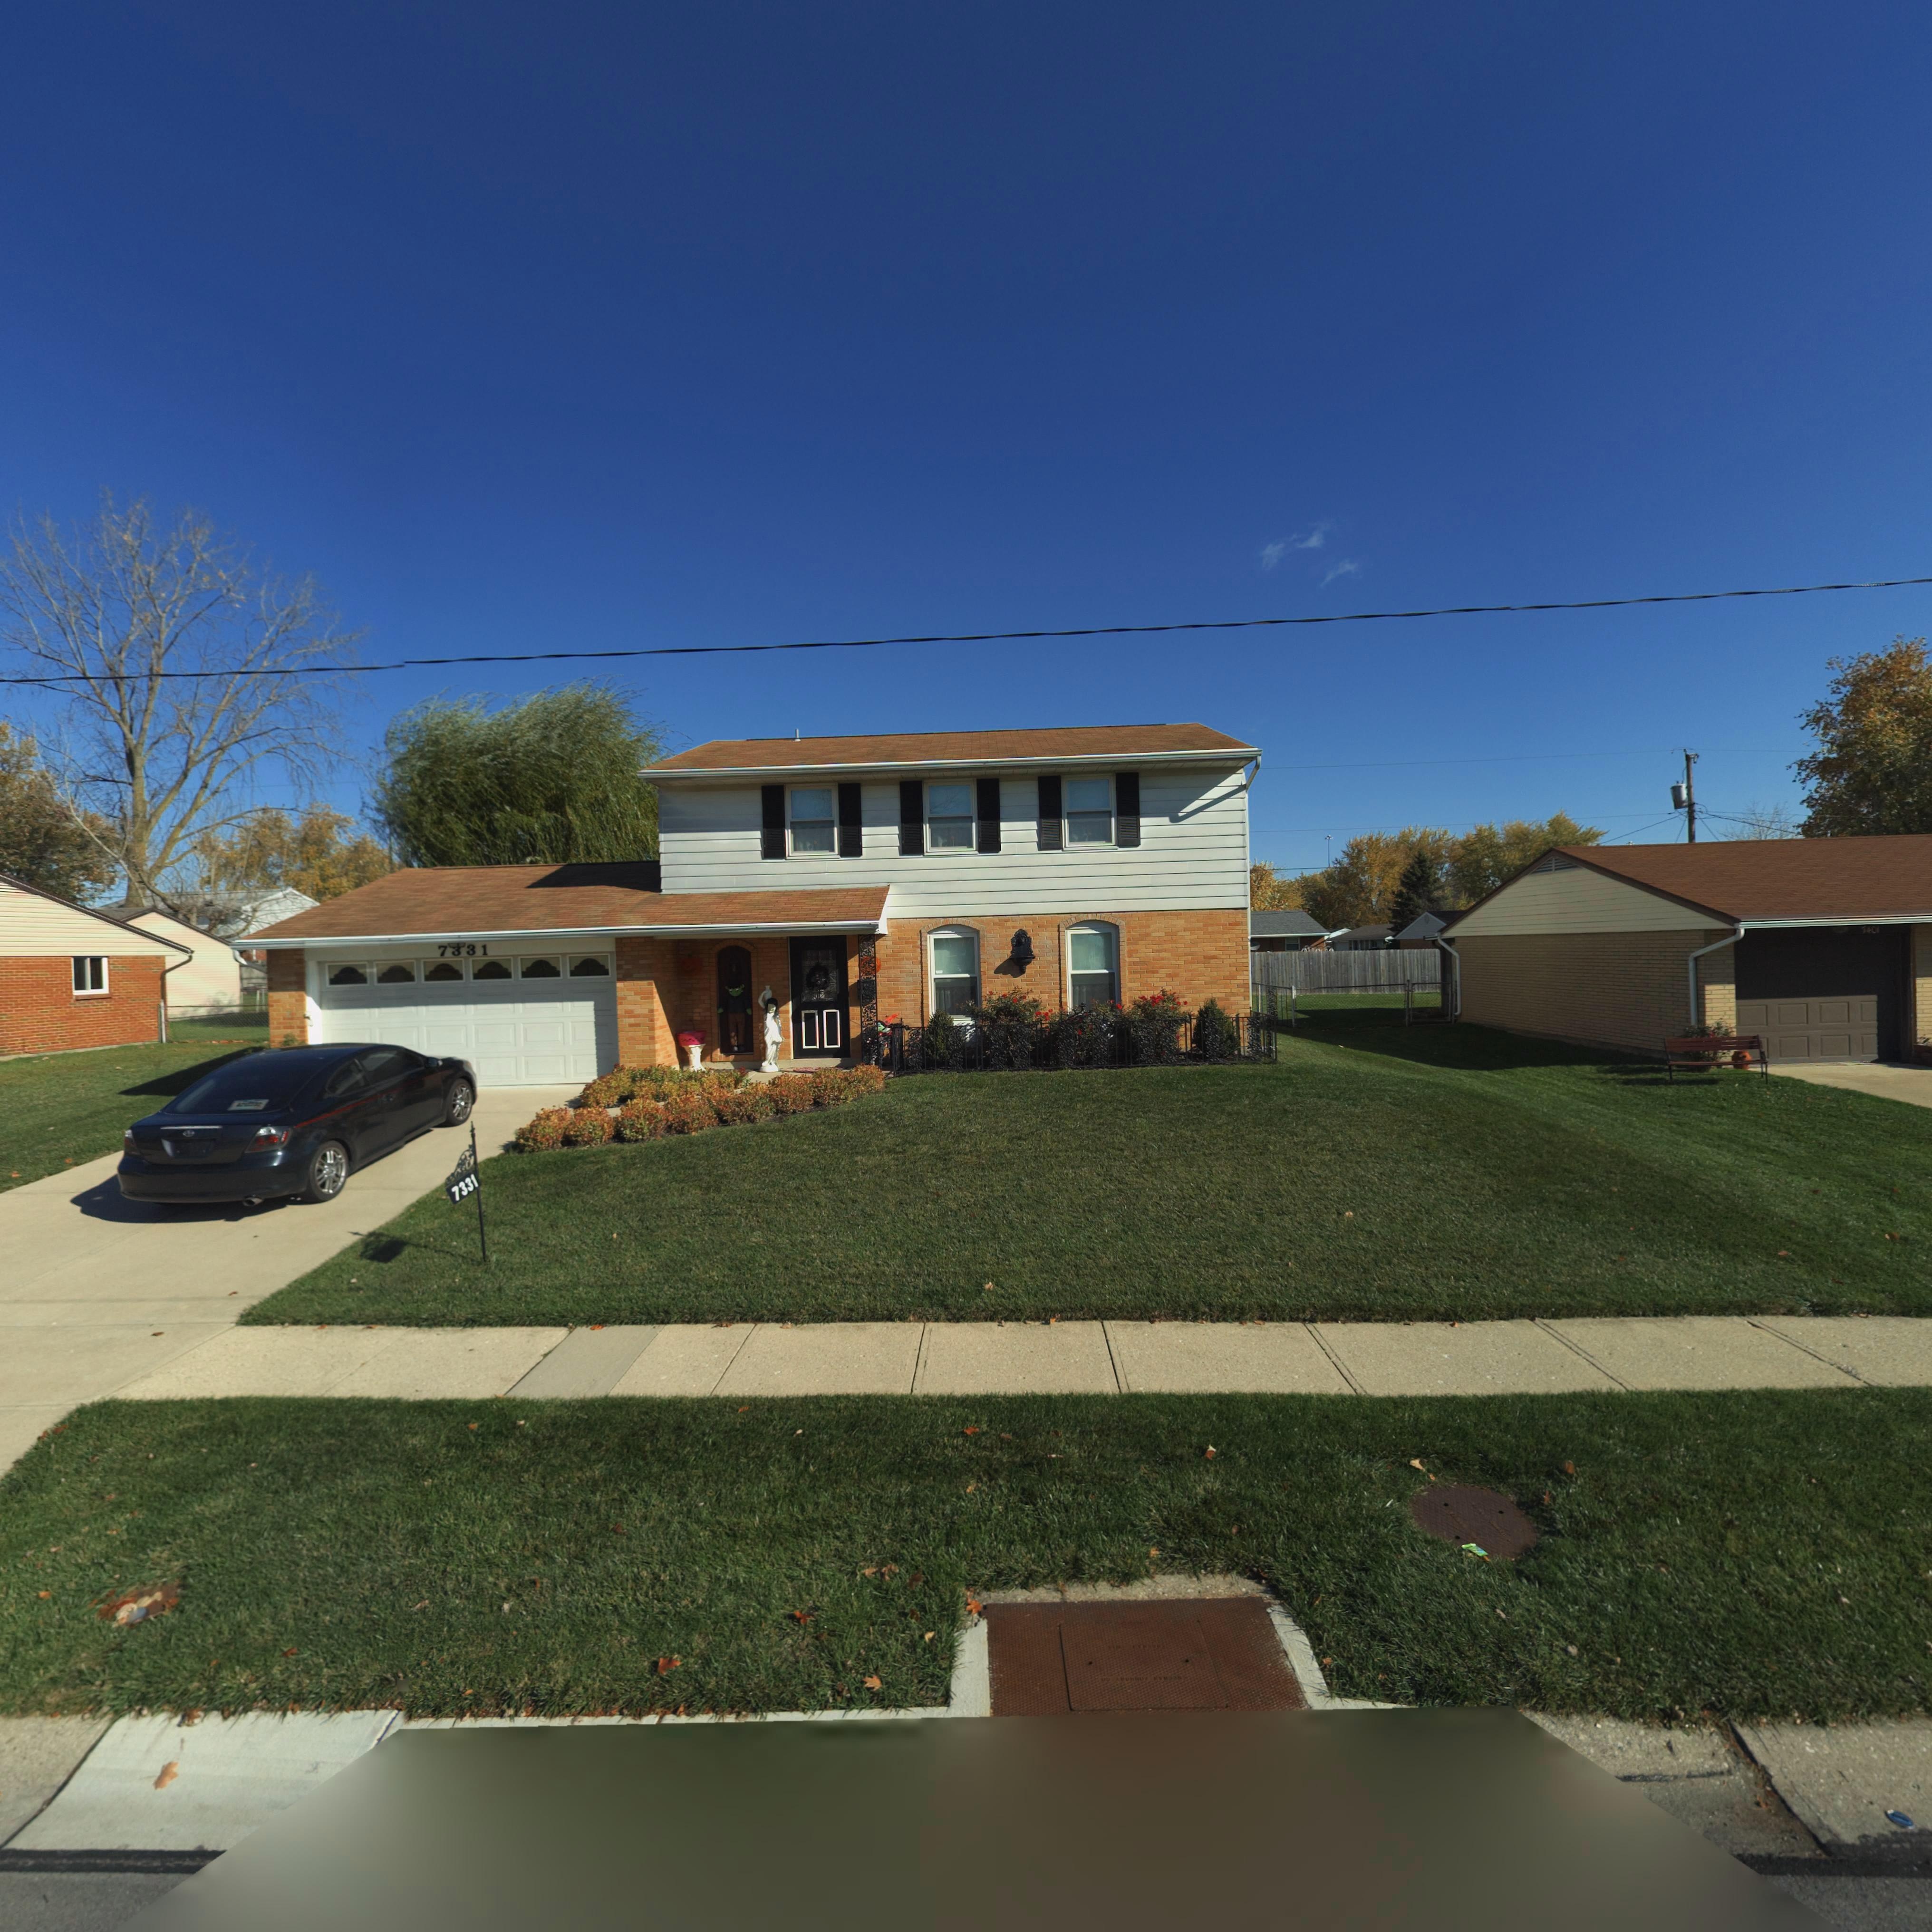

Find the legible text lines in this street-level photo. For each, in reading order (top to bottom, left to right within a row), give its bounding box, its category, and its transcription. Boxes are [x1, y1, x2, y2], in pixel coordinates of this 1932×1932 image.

[1860, 925, 1880, 935] StreetNumber: 7401
[437, 943, 489, 958] StreetNumber: 7*31
[449, 1171, 480, 1203] StreetNumber: 7331